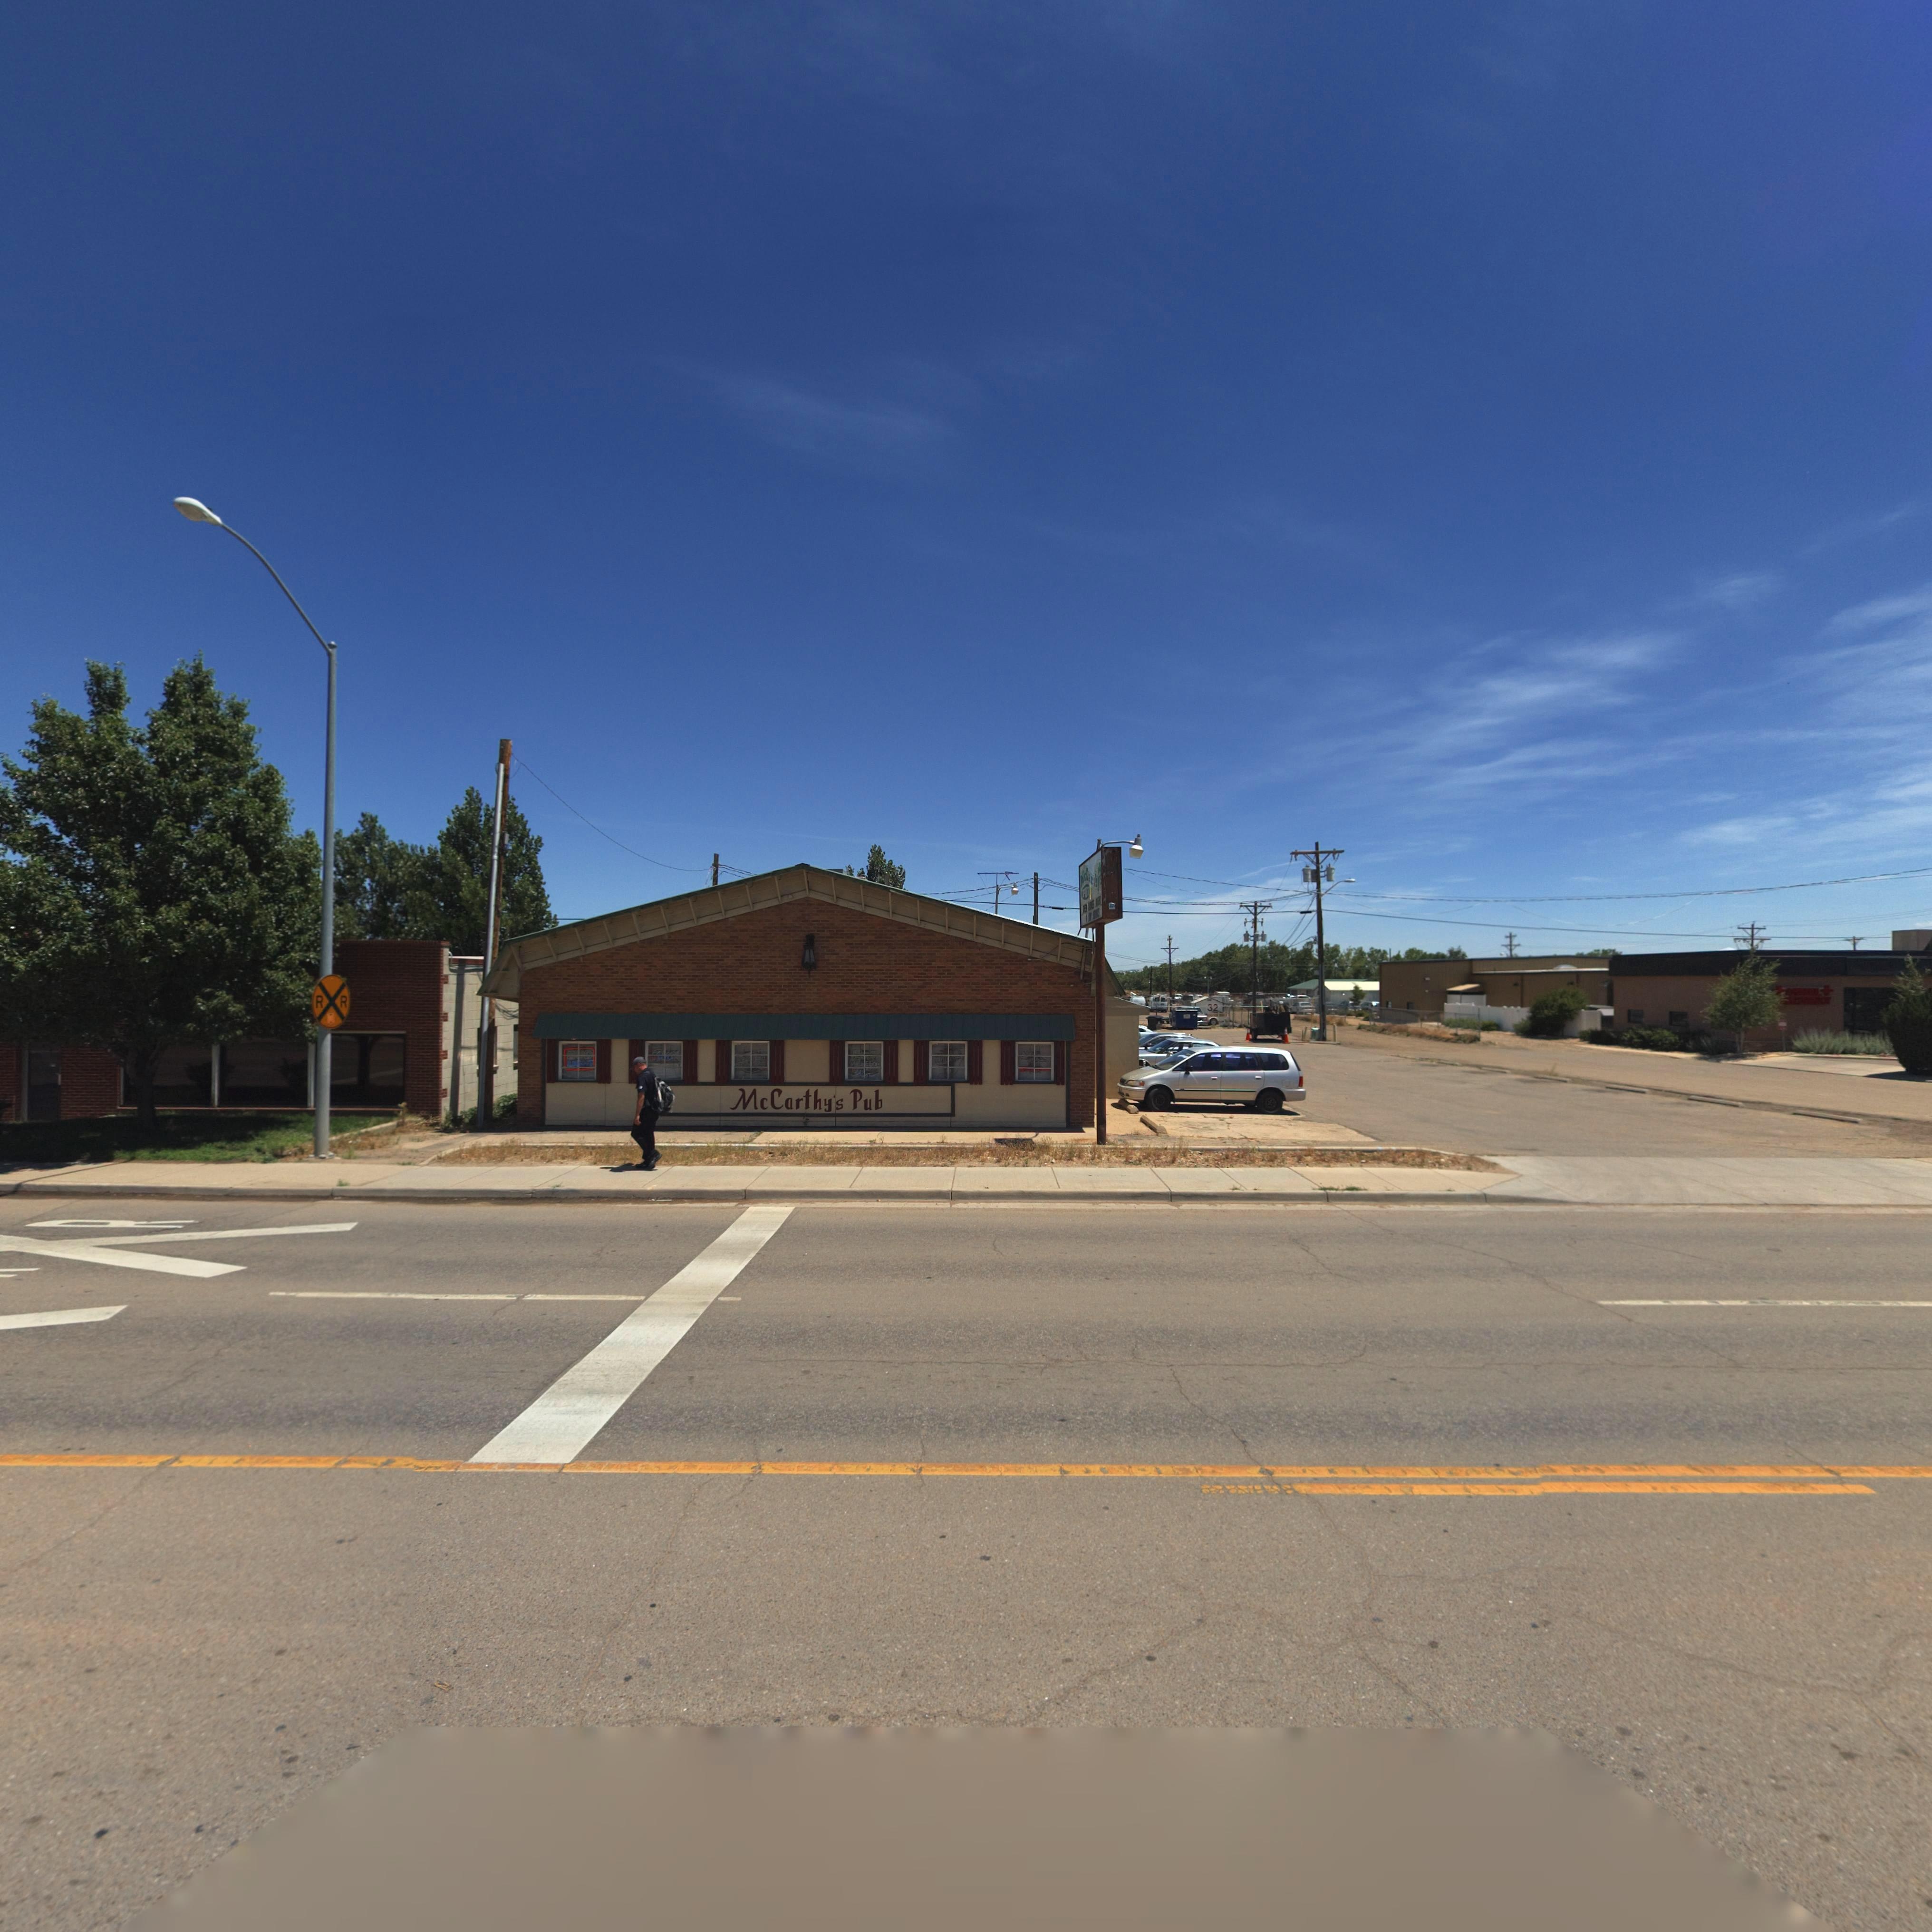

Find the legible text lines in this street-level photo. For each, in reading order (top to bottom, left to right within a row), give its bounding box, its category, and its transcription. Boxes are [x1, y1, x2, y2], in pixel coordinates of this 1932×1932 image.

[1079, 866, 1102, 892] BusinessName: McCarlys
[1081, 886, 1090, 898] BusinessName: P**
[1773, 984, 1823, 996] BusinessName: *A
[1781, 996, 1832, 1005] BusinessName: *******CY
[729, 1088, 884, 1112] BusinessName: McCarthys Pub